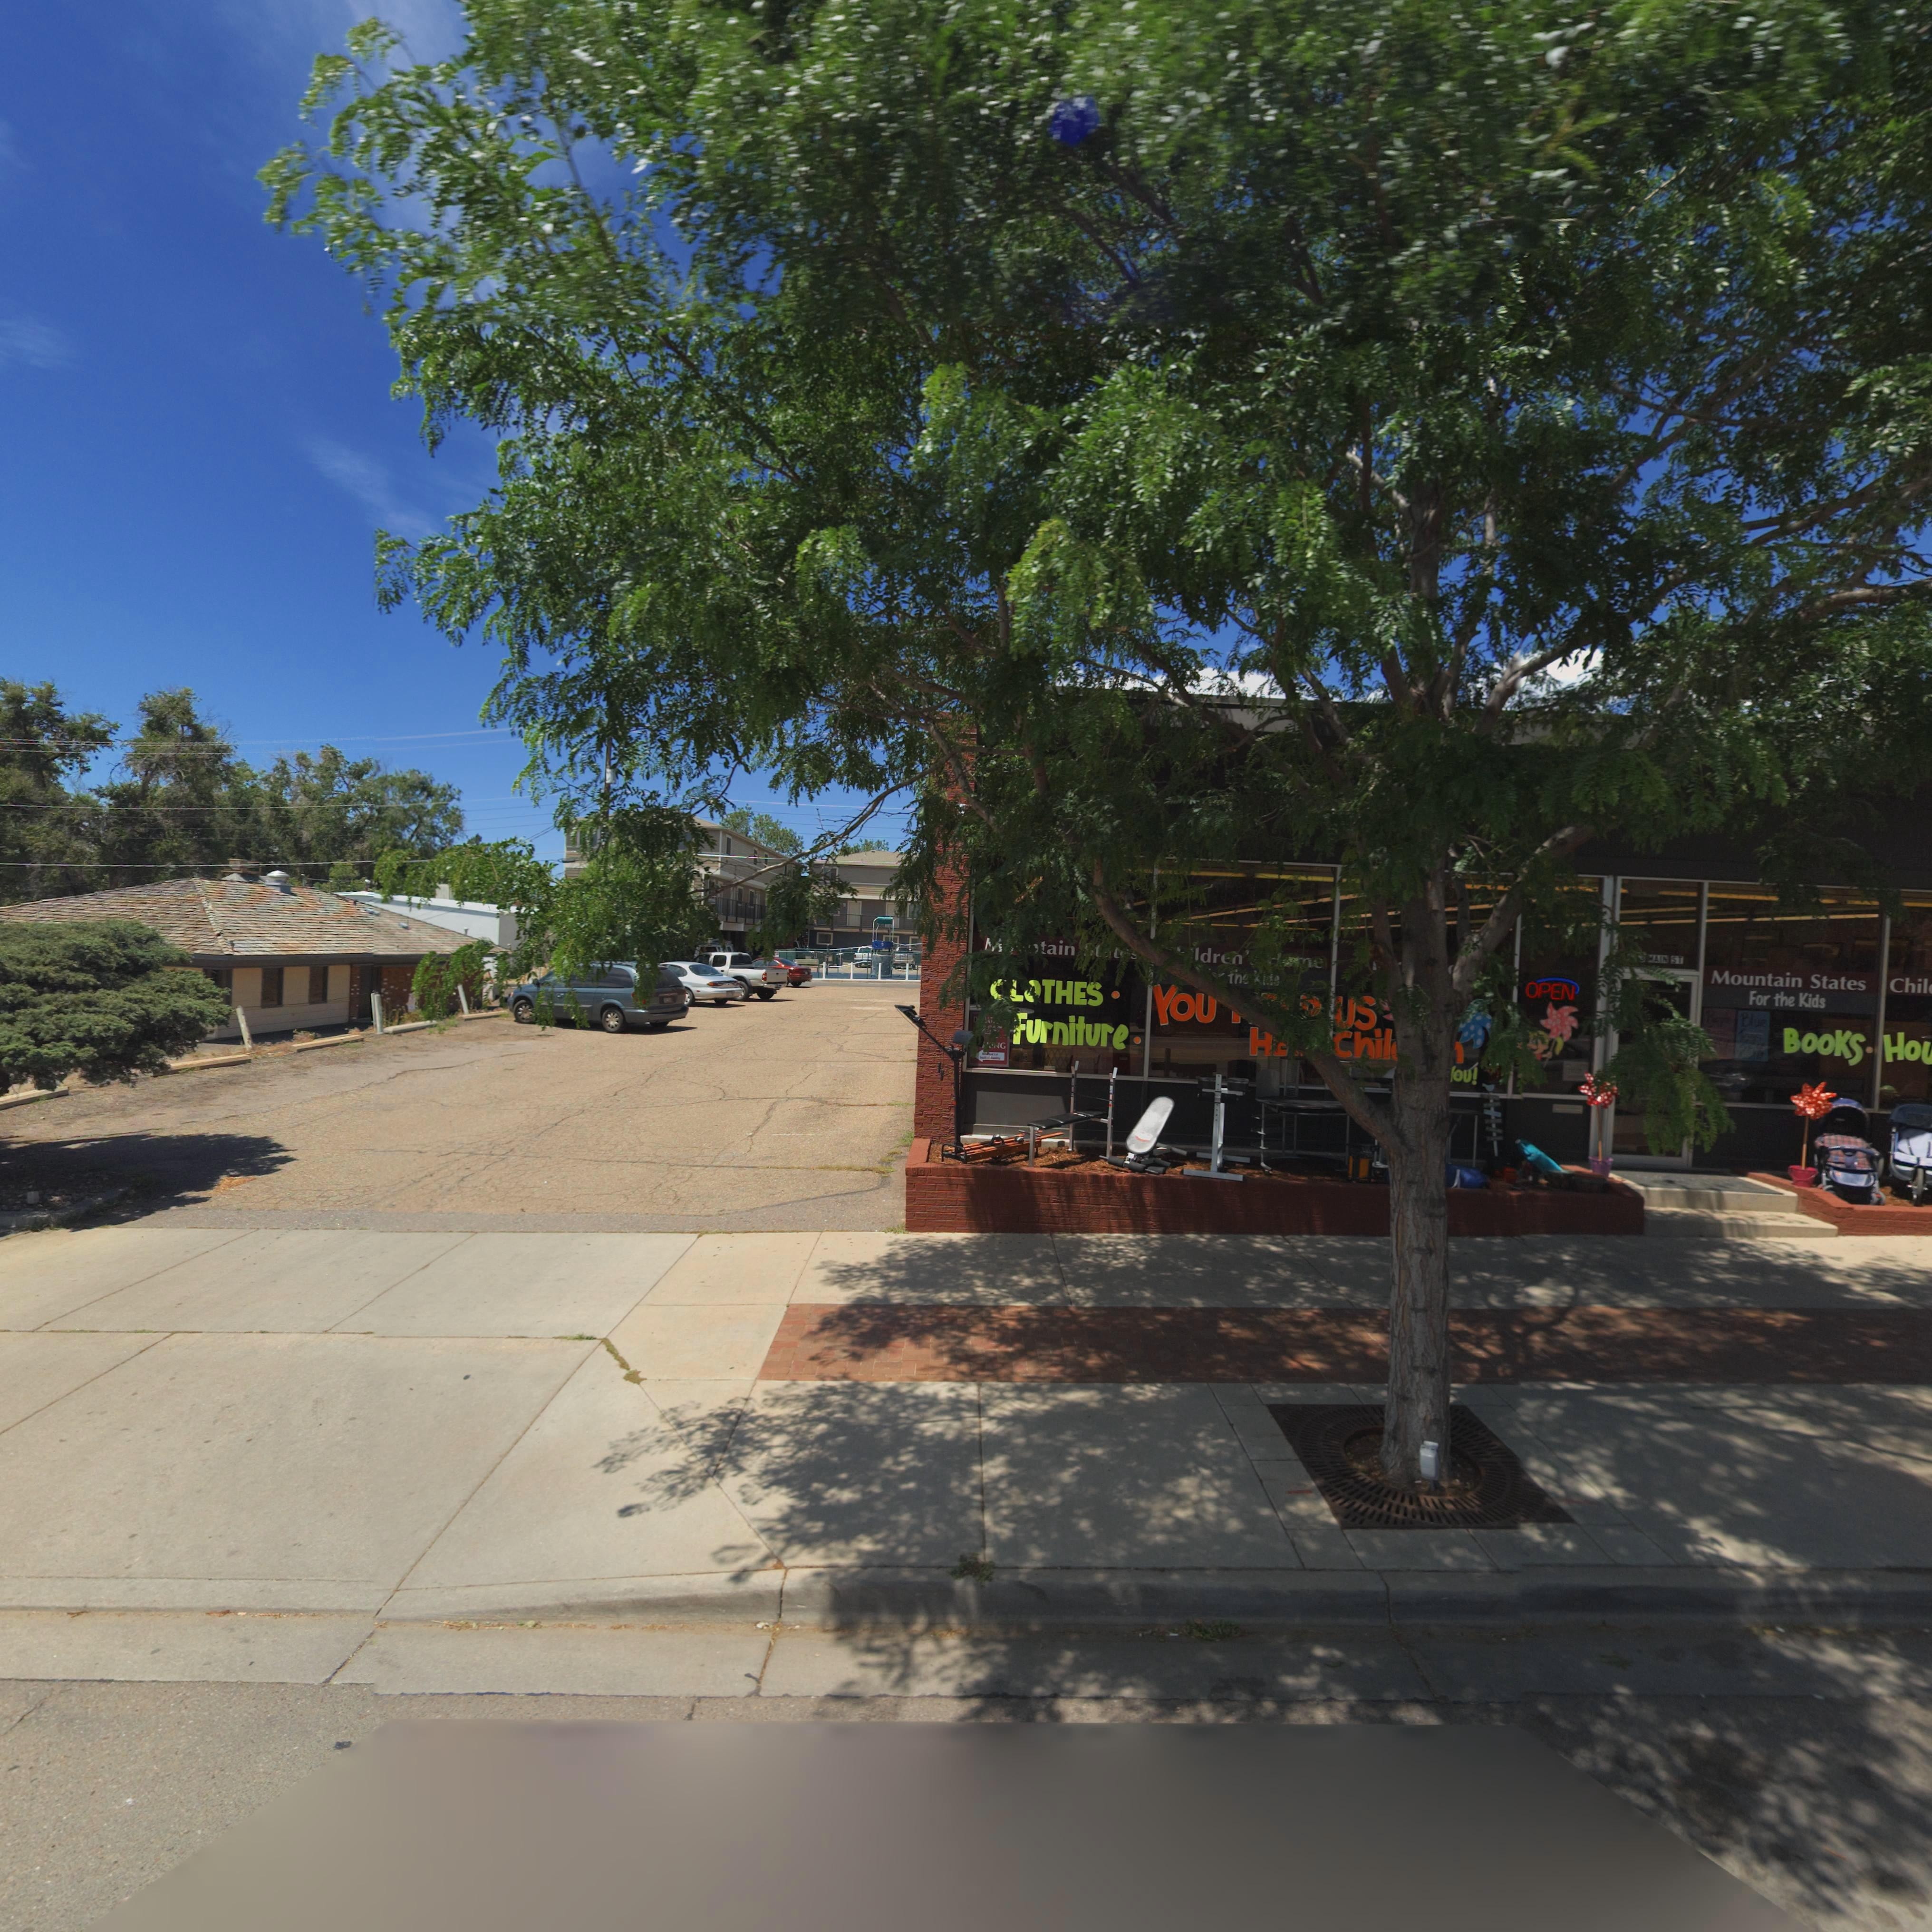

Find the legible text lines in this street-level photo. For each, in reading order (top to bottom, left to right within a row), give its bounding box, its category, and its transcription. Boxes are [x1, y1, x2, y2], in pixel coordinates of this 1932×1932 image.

[983, 936, 1325, 969] BusinessName: M***tain St**** ***ldren'* H*me 
[1647, 954, 1683, 964] StreetName: MAIN ST
[1199, 966, 1281, 987] BusinessName: *** the Kids
[1710, 969, 1867, 991] BusinessName: Mountain States
[1887, 977, 1929, 994] BusinessName: Chil
[1748, 990, 1826, 1009] BusinessName: For the Kids